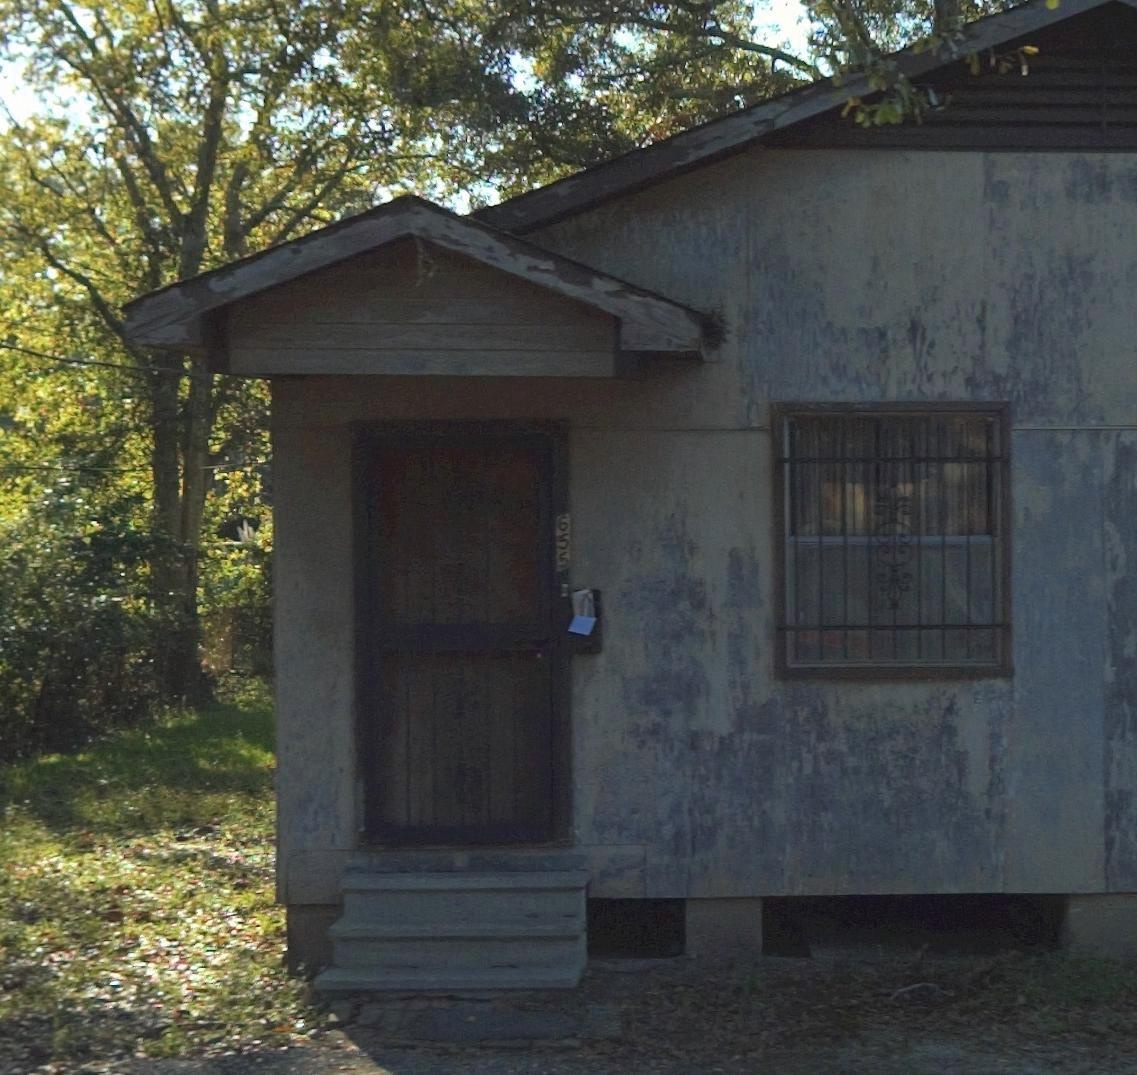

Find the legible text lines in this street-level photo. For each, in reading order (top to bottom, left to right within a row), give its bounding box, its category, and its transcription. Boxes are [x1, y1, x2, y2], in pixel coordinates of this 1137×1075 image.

[555, 513, 573, 571] StreetNumber: 655